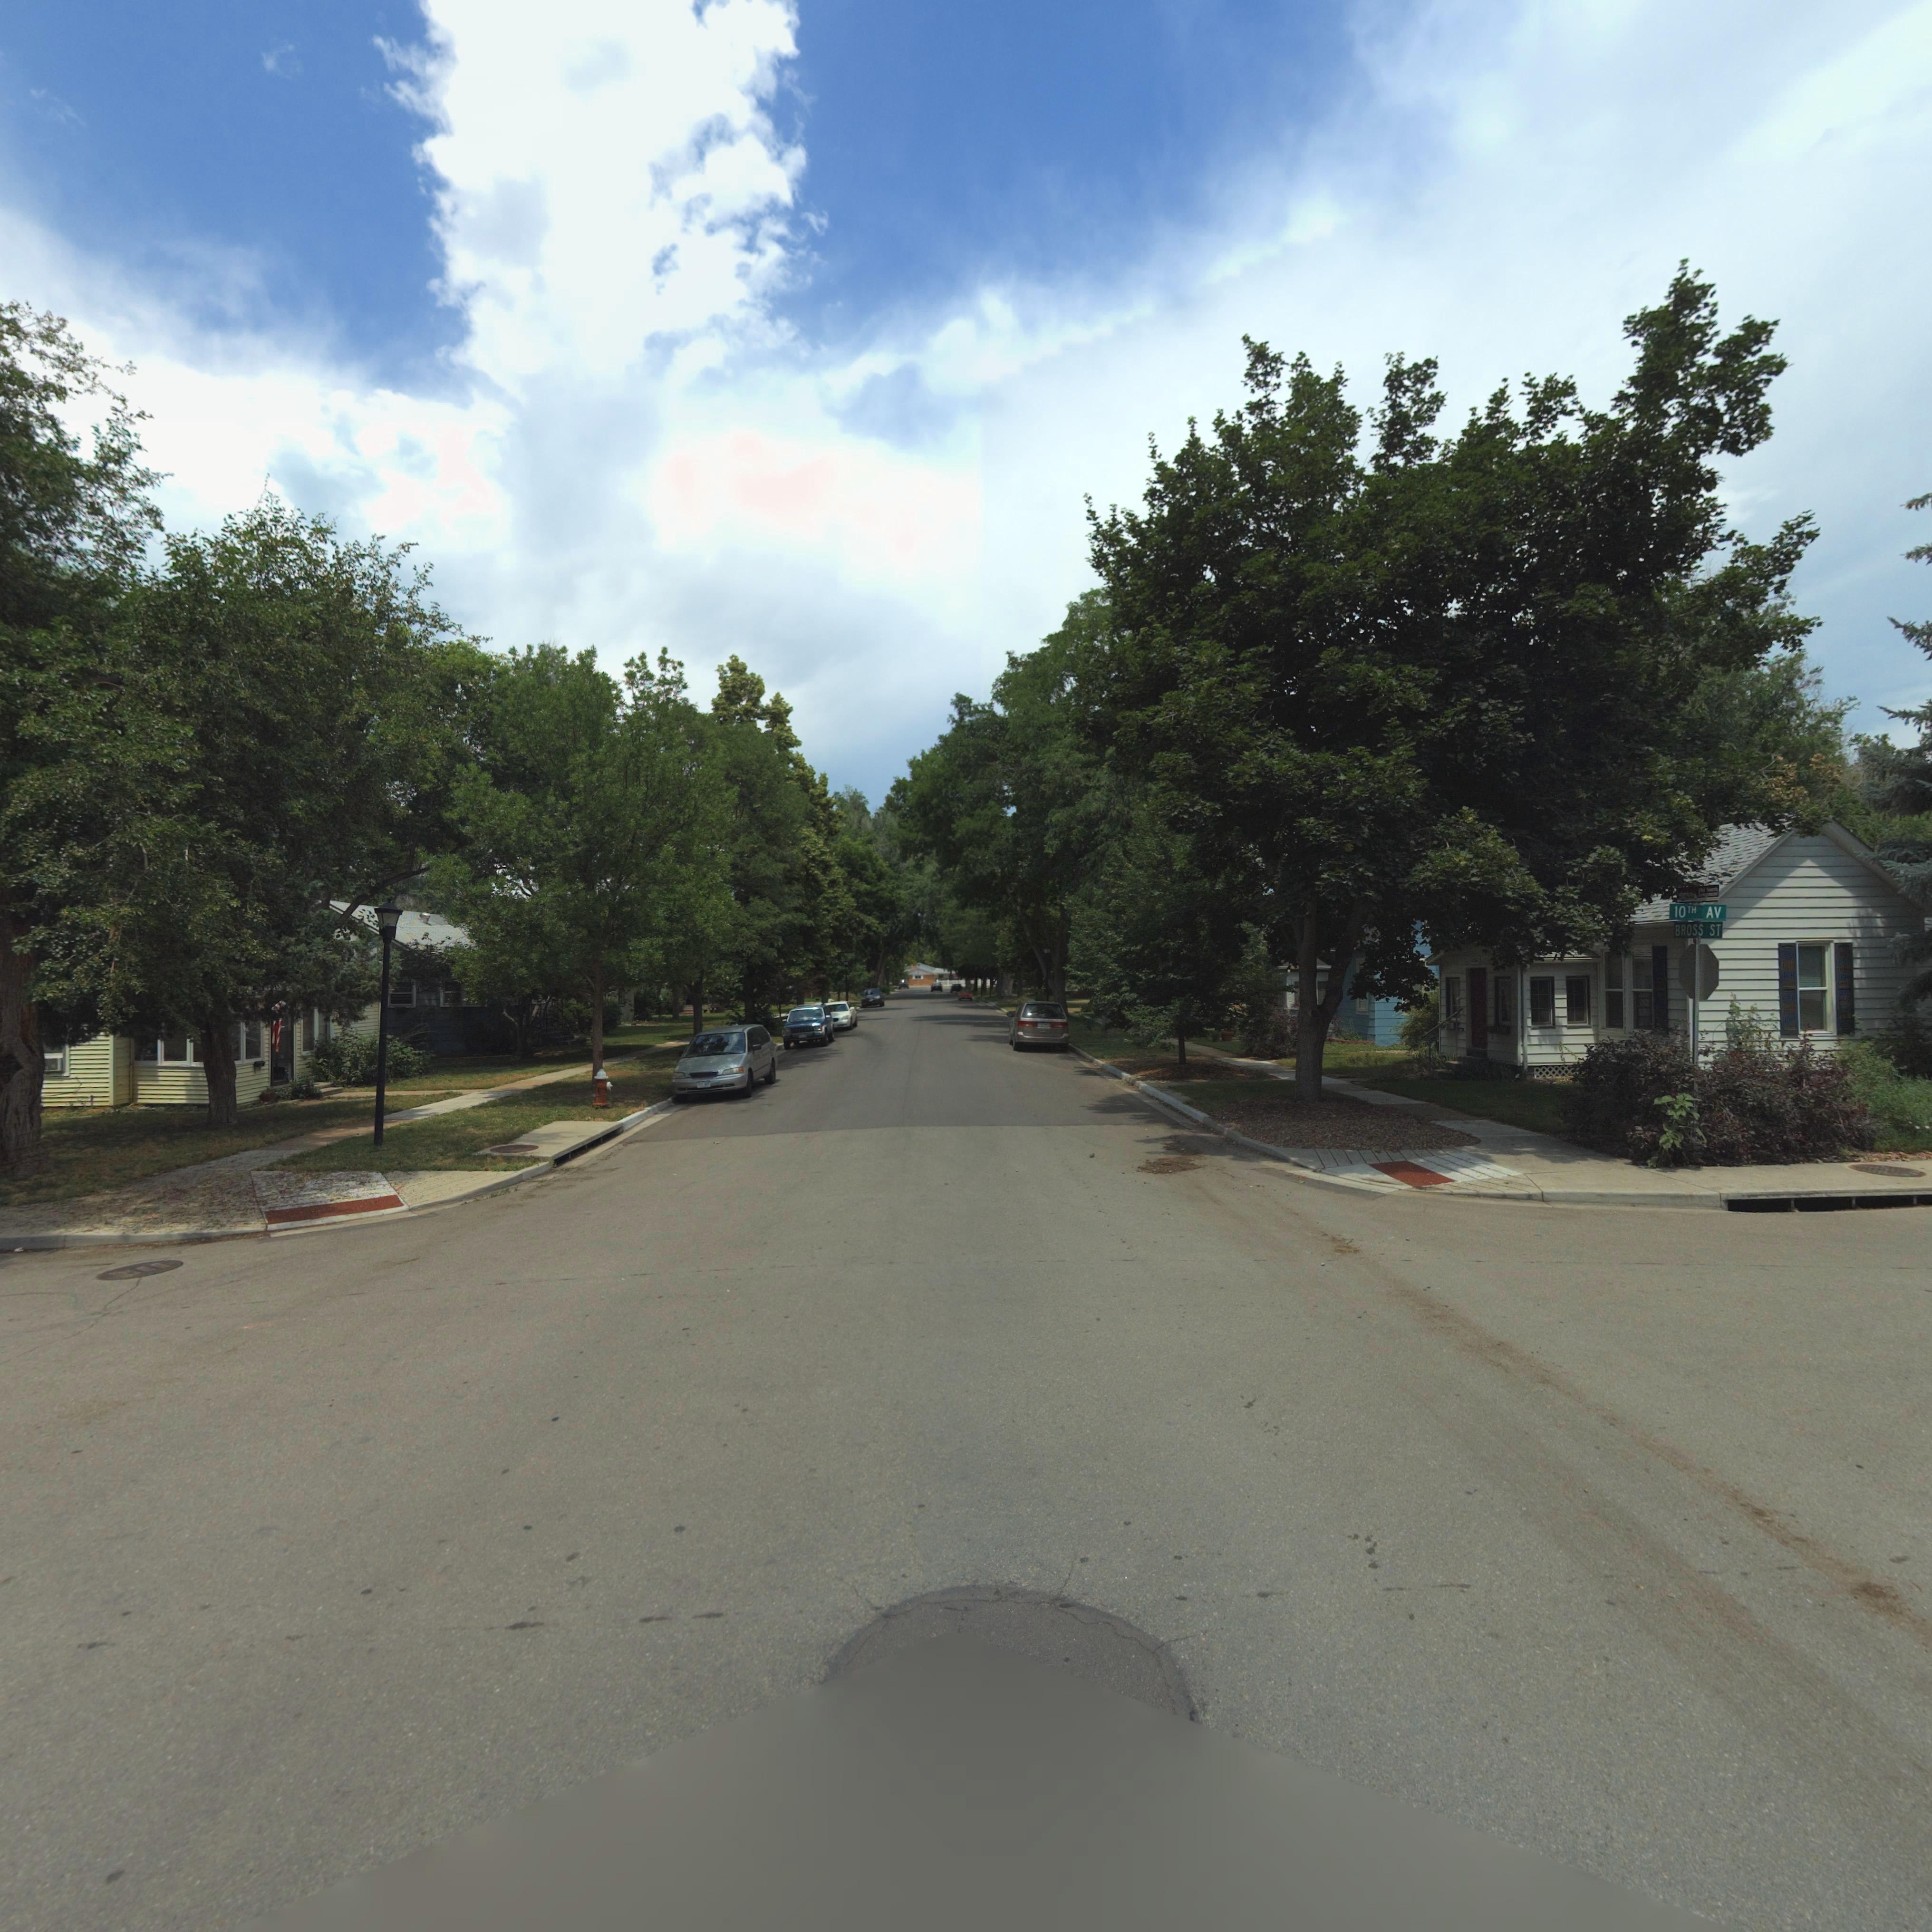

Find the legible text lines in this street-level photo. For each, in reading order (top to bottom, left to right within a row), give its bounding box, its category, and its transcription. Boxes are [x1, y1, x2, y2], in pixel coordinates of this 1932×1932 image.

[1673, 904, 1722, 918] StreetName: 10TH AV
[1674, 924, 1721, 937] StreetName: BROSS ST